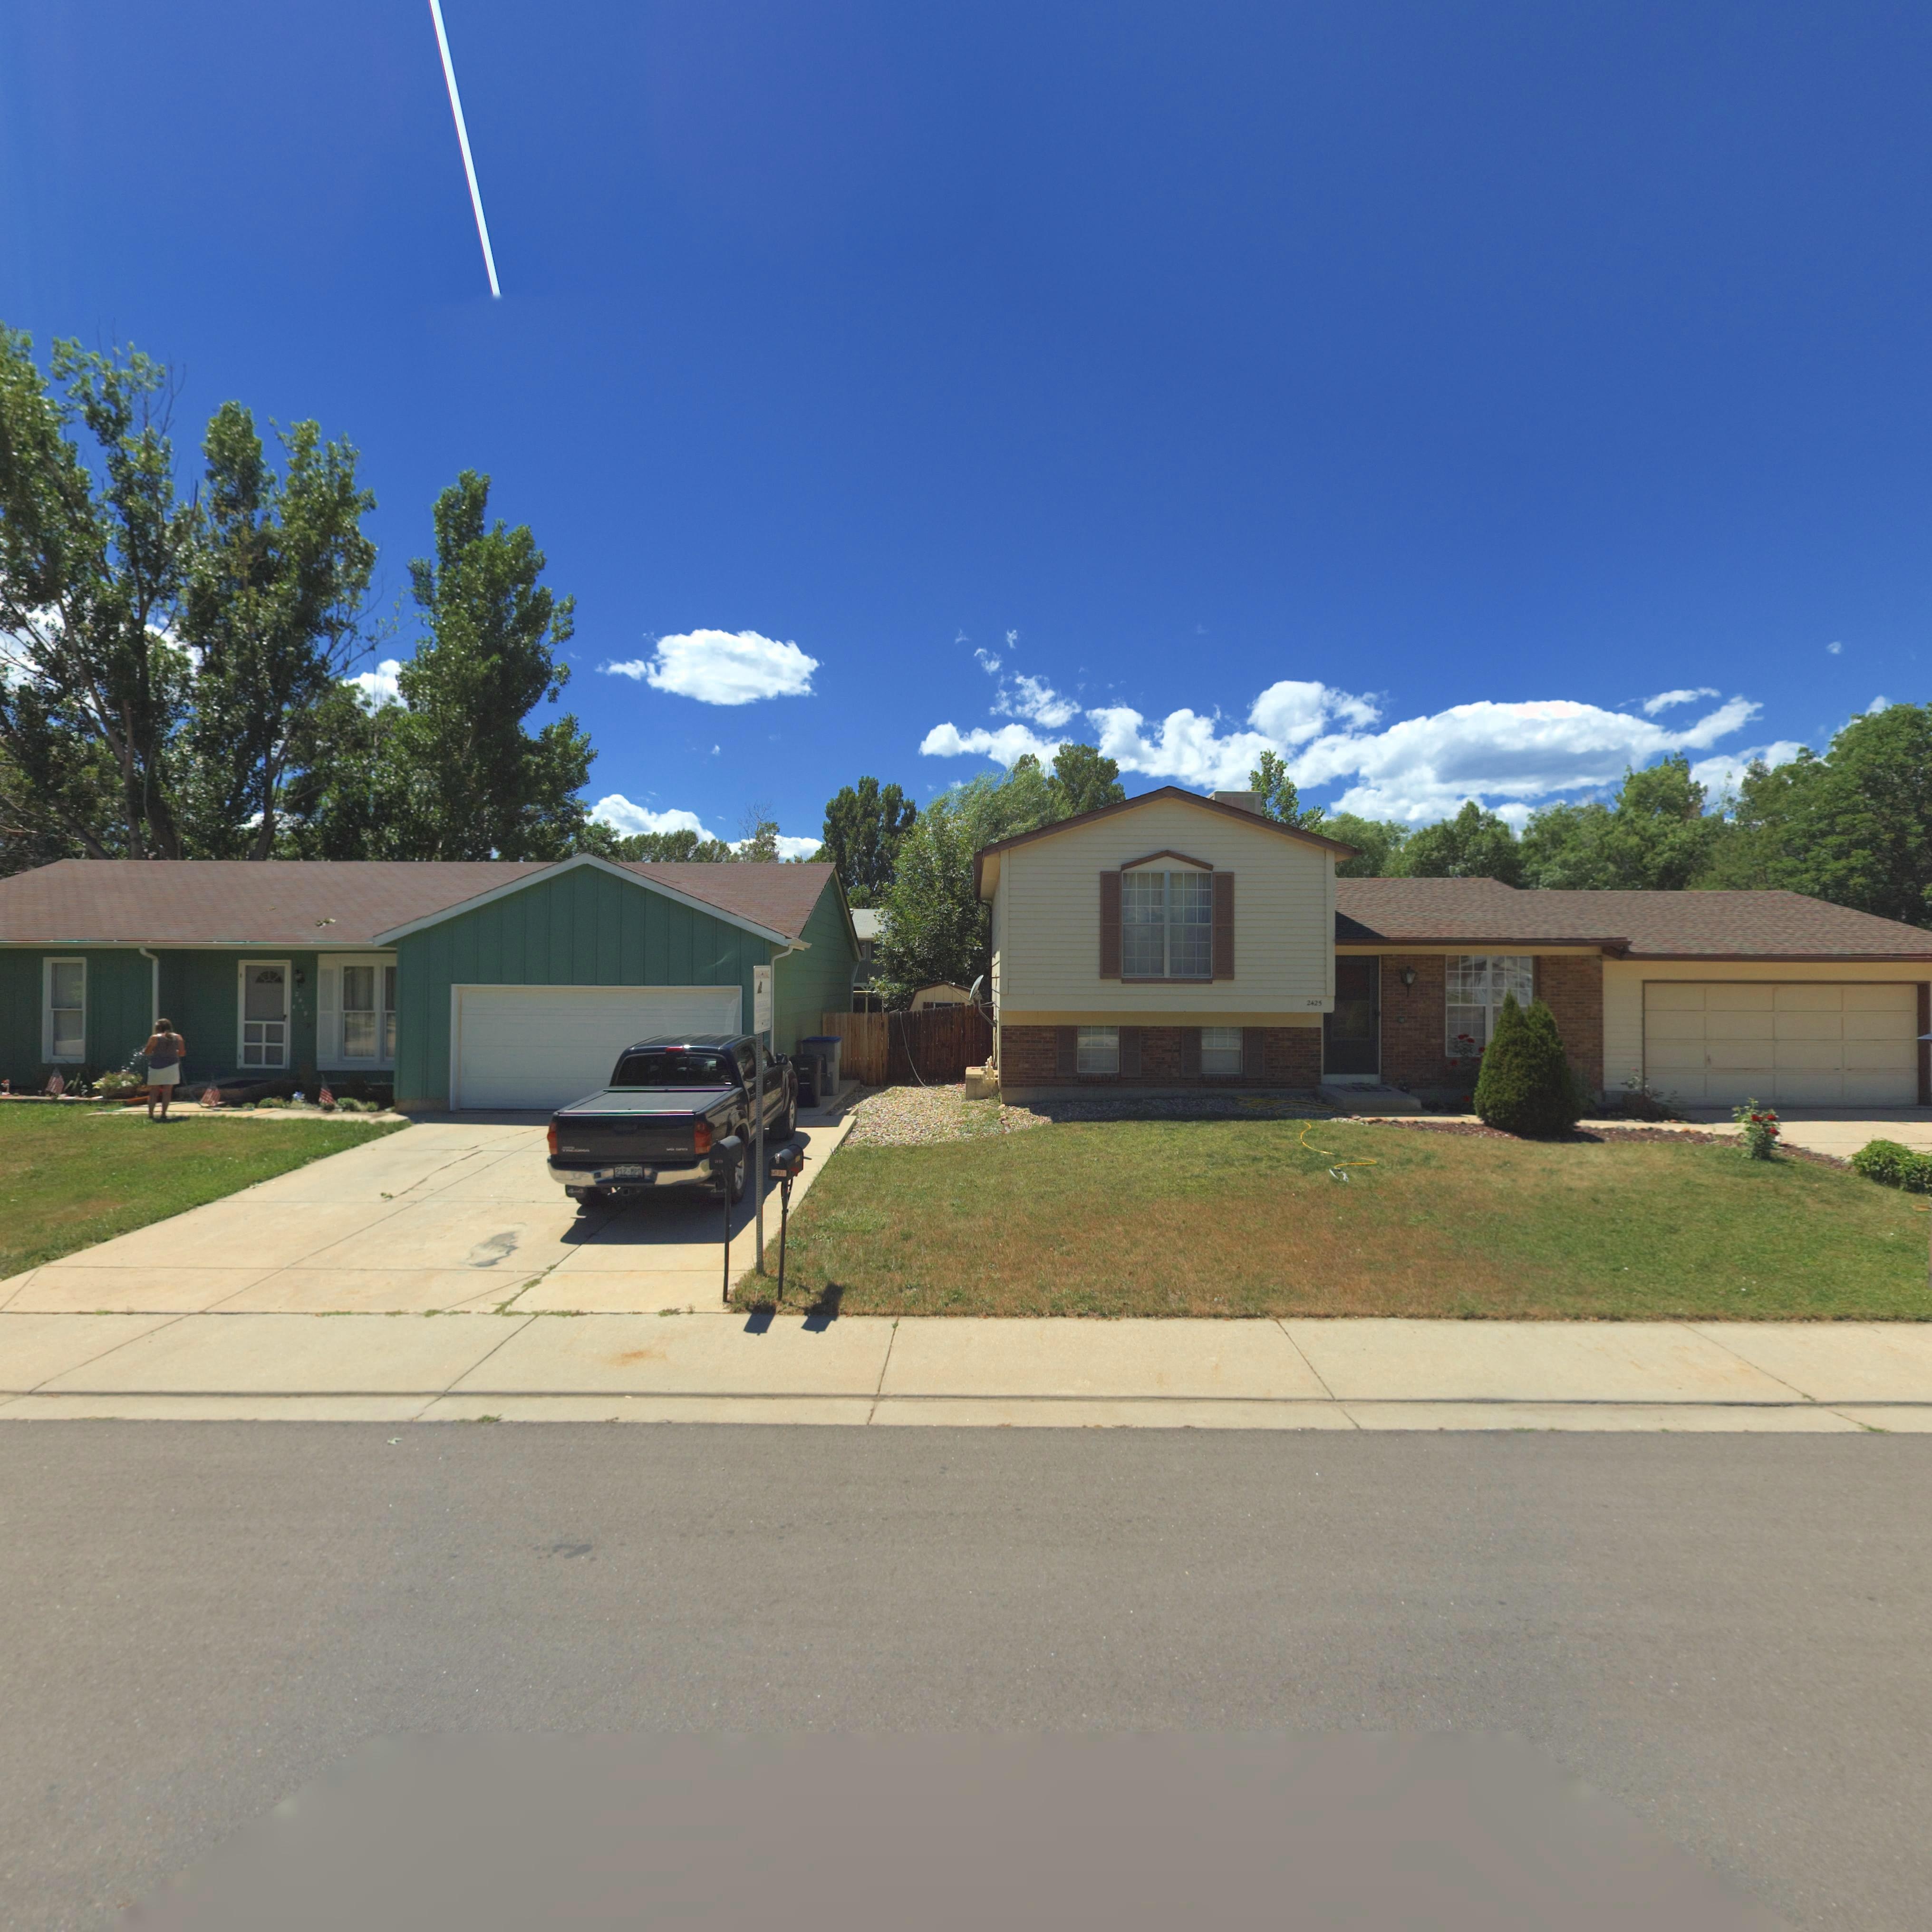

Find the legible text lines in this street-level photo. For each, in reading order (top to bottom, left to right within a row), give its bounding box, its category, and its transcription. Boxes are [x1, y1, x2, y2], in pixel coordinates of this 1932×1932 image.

[292, 990, 309, 1018] StreetNumber: 2**9
[1306, 999, 1323, 1005] StreetNumber: 2425
[714, 1159, 723, 1163] StreetNumber: 2**9
[772, 1169, 785, 1175] None: 2***